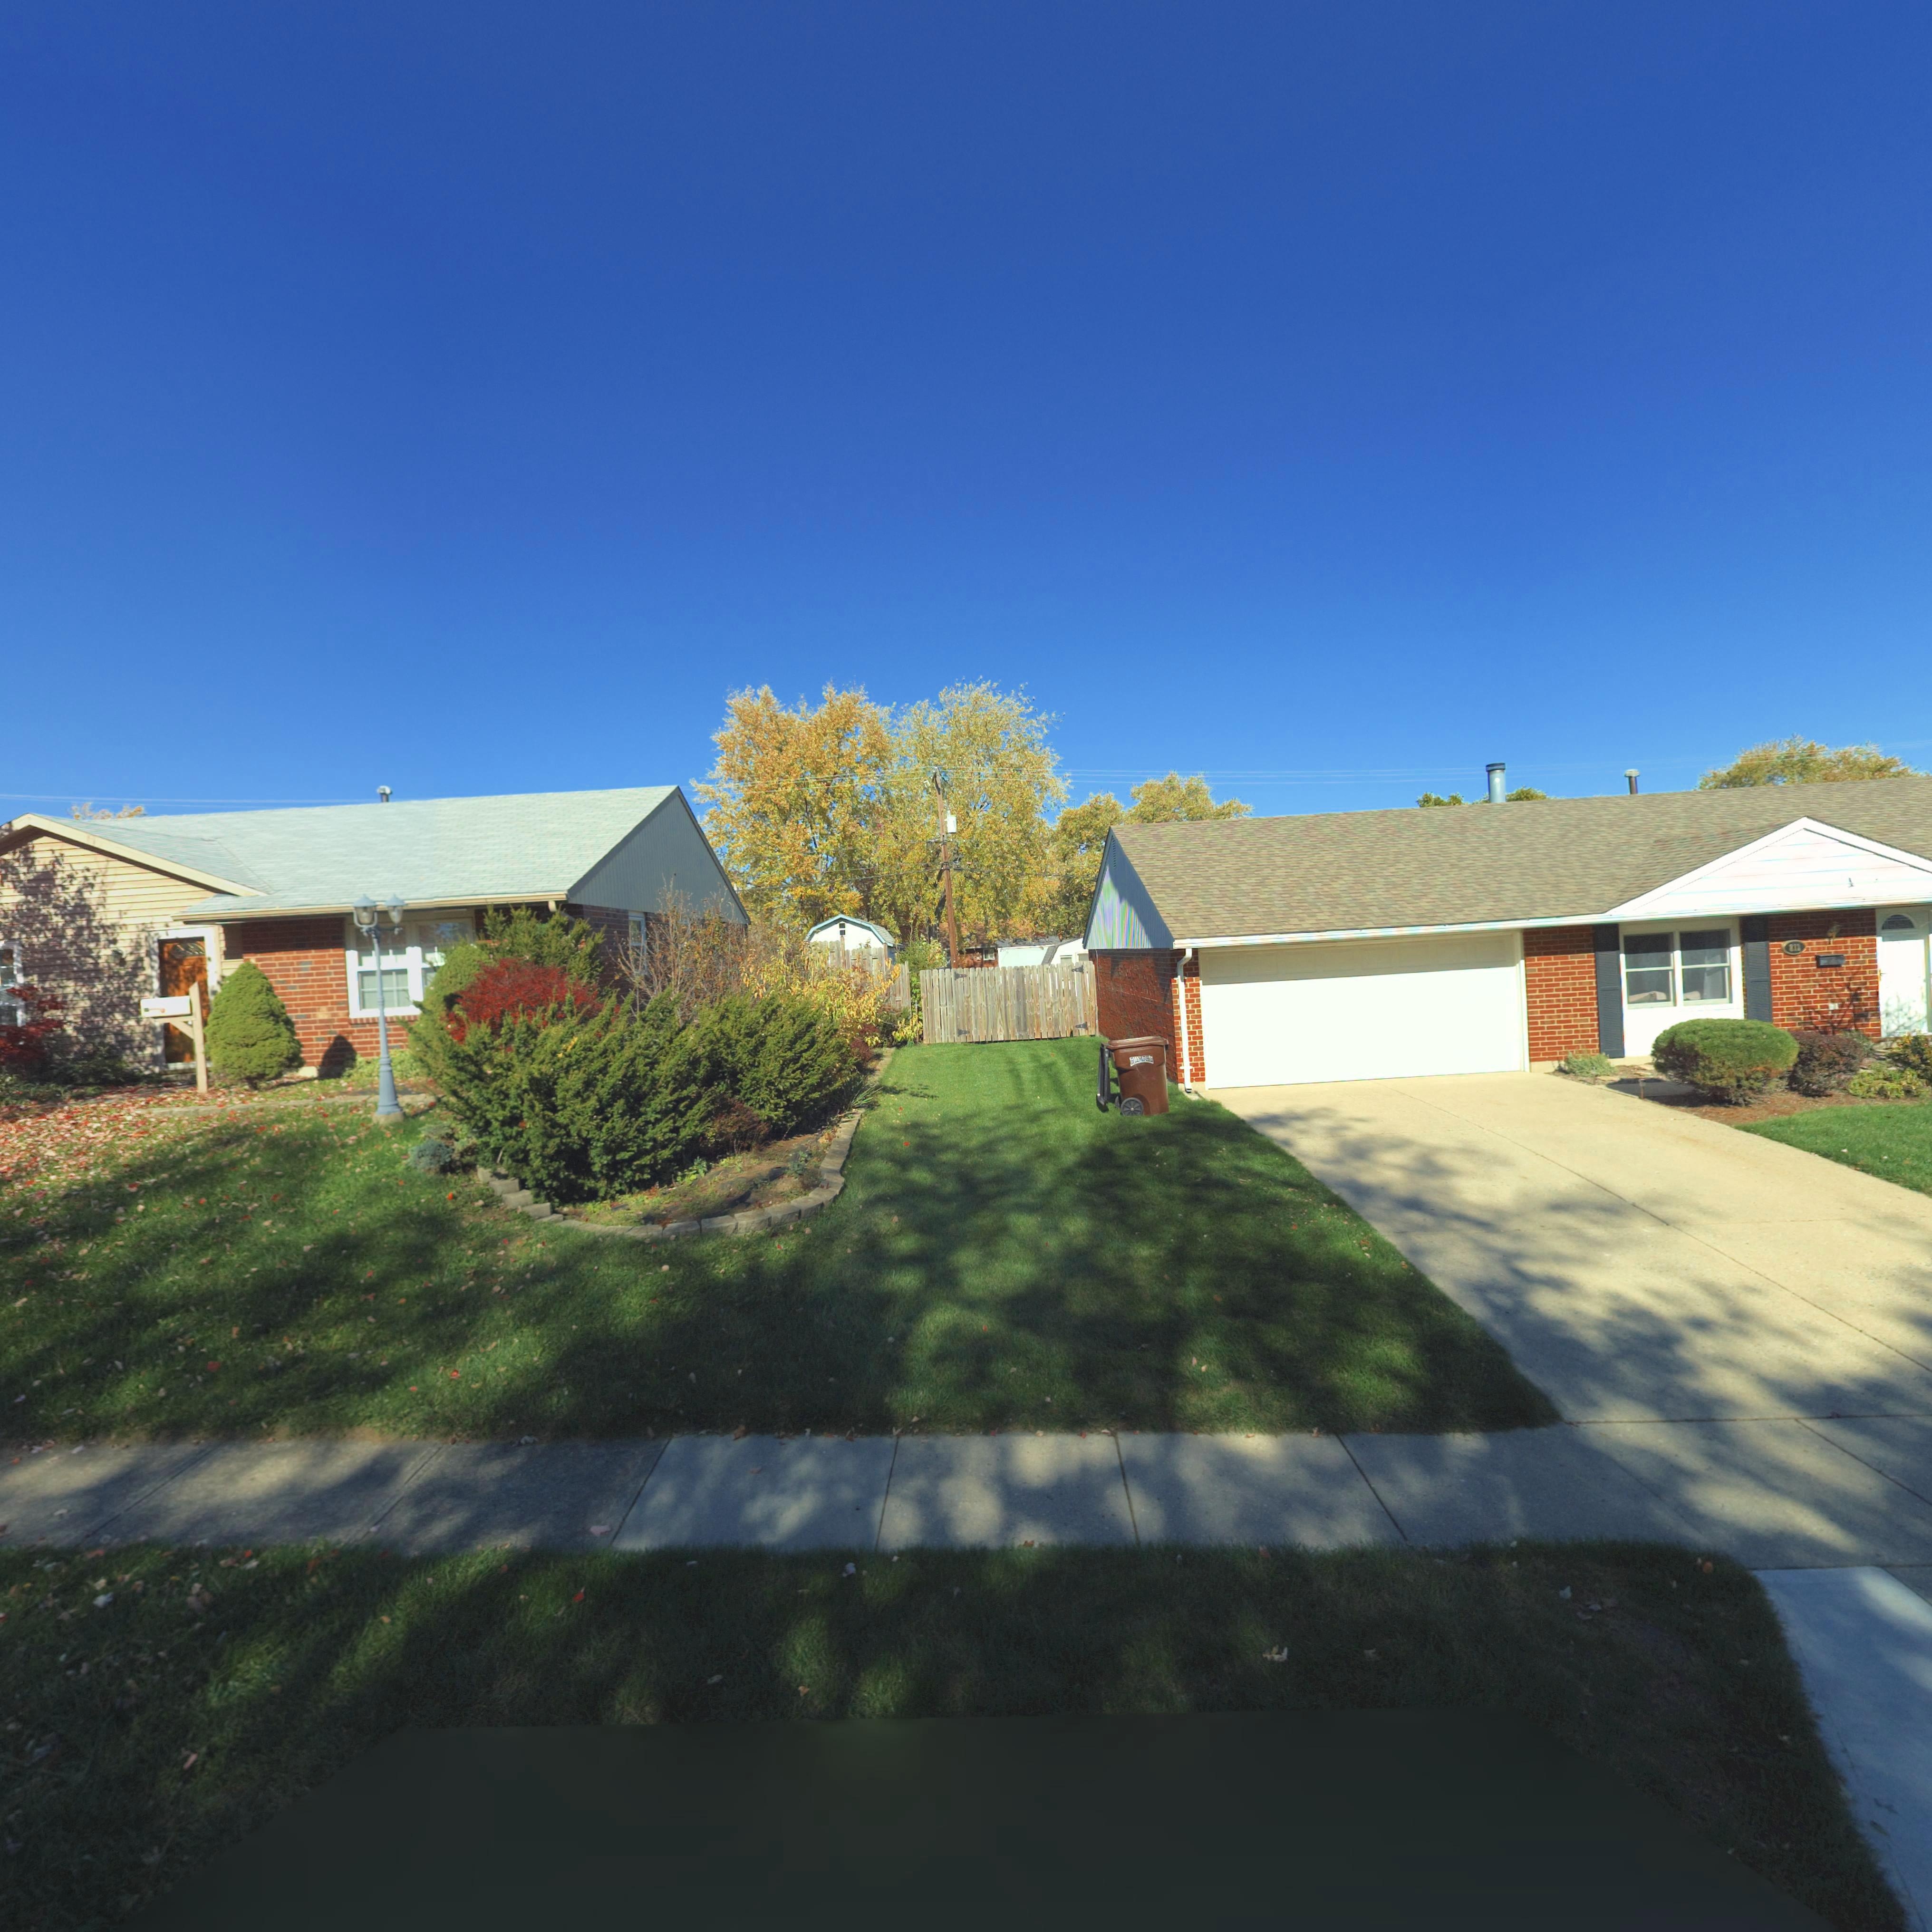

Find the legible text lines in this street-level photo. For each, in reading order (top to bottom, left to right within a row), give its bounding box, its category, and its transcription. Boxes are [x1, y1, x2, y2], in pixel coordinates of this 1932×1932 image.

[1788, 943, 1801, 952] StreetNumber: 812